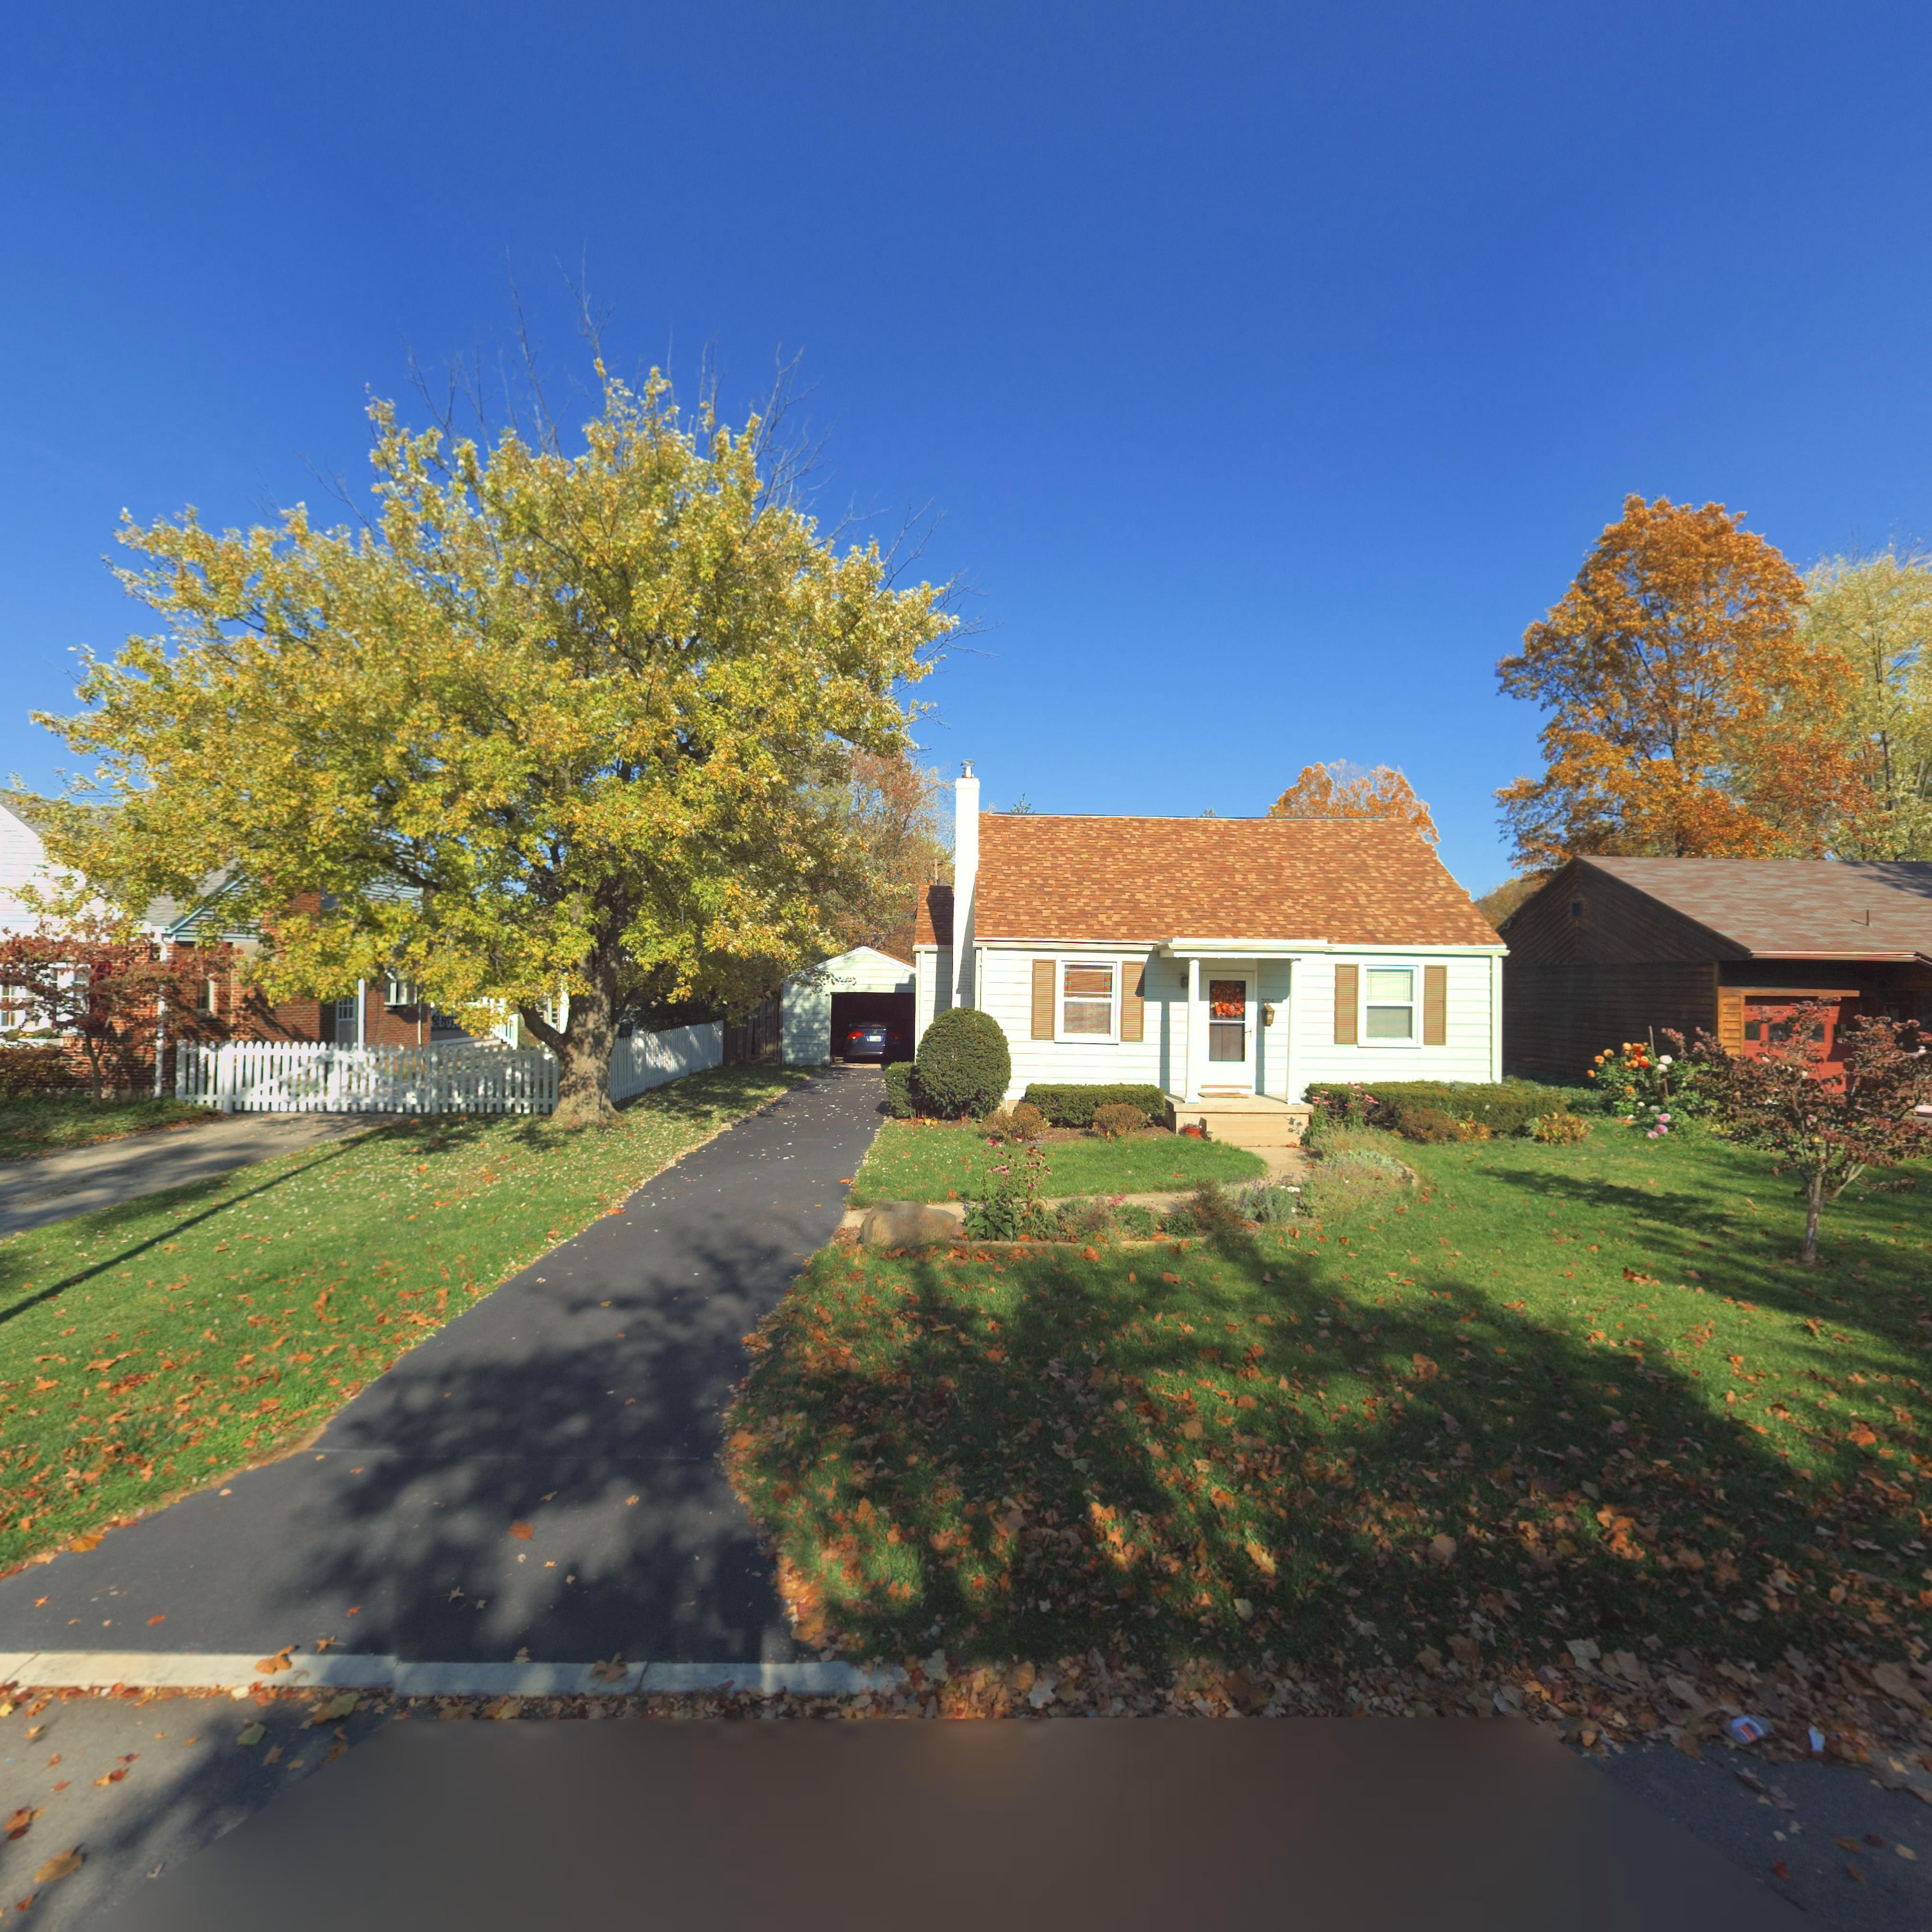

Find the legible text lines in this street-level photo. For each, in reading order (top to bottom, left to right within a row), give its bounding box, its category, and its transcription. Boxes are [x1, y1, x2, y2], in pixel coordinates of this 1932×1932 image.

[1260, 998, 1275, 1004] StreetNumber: 3*04